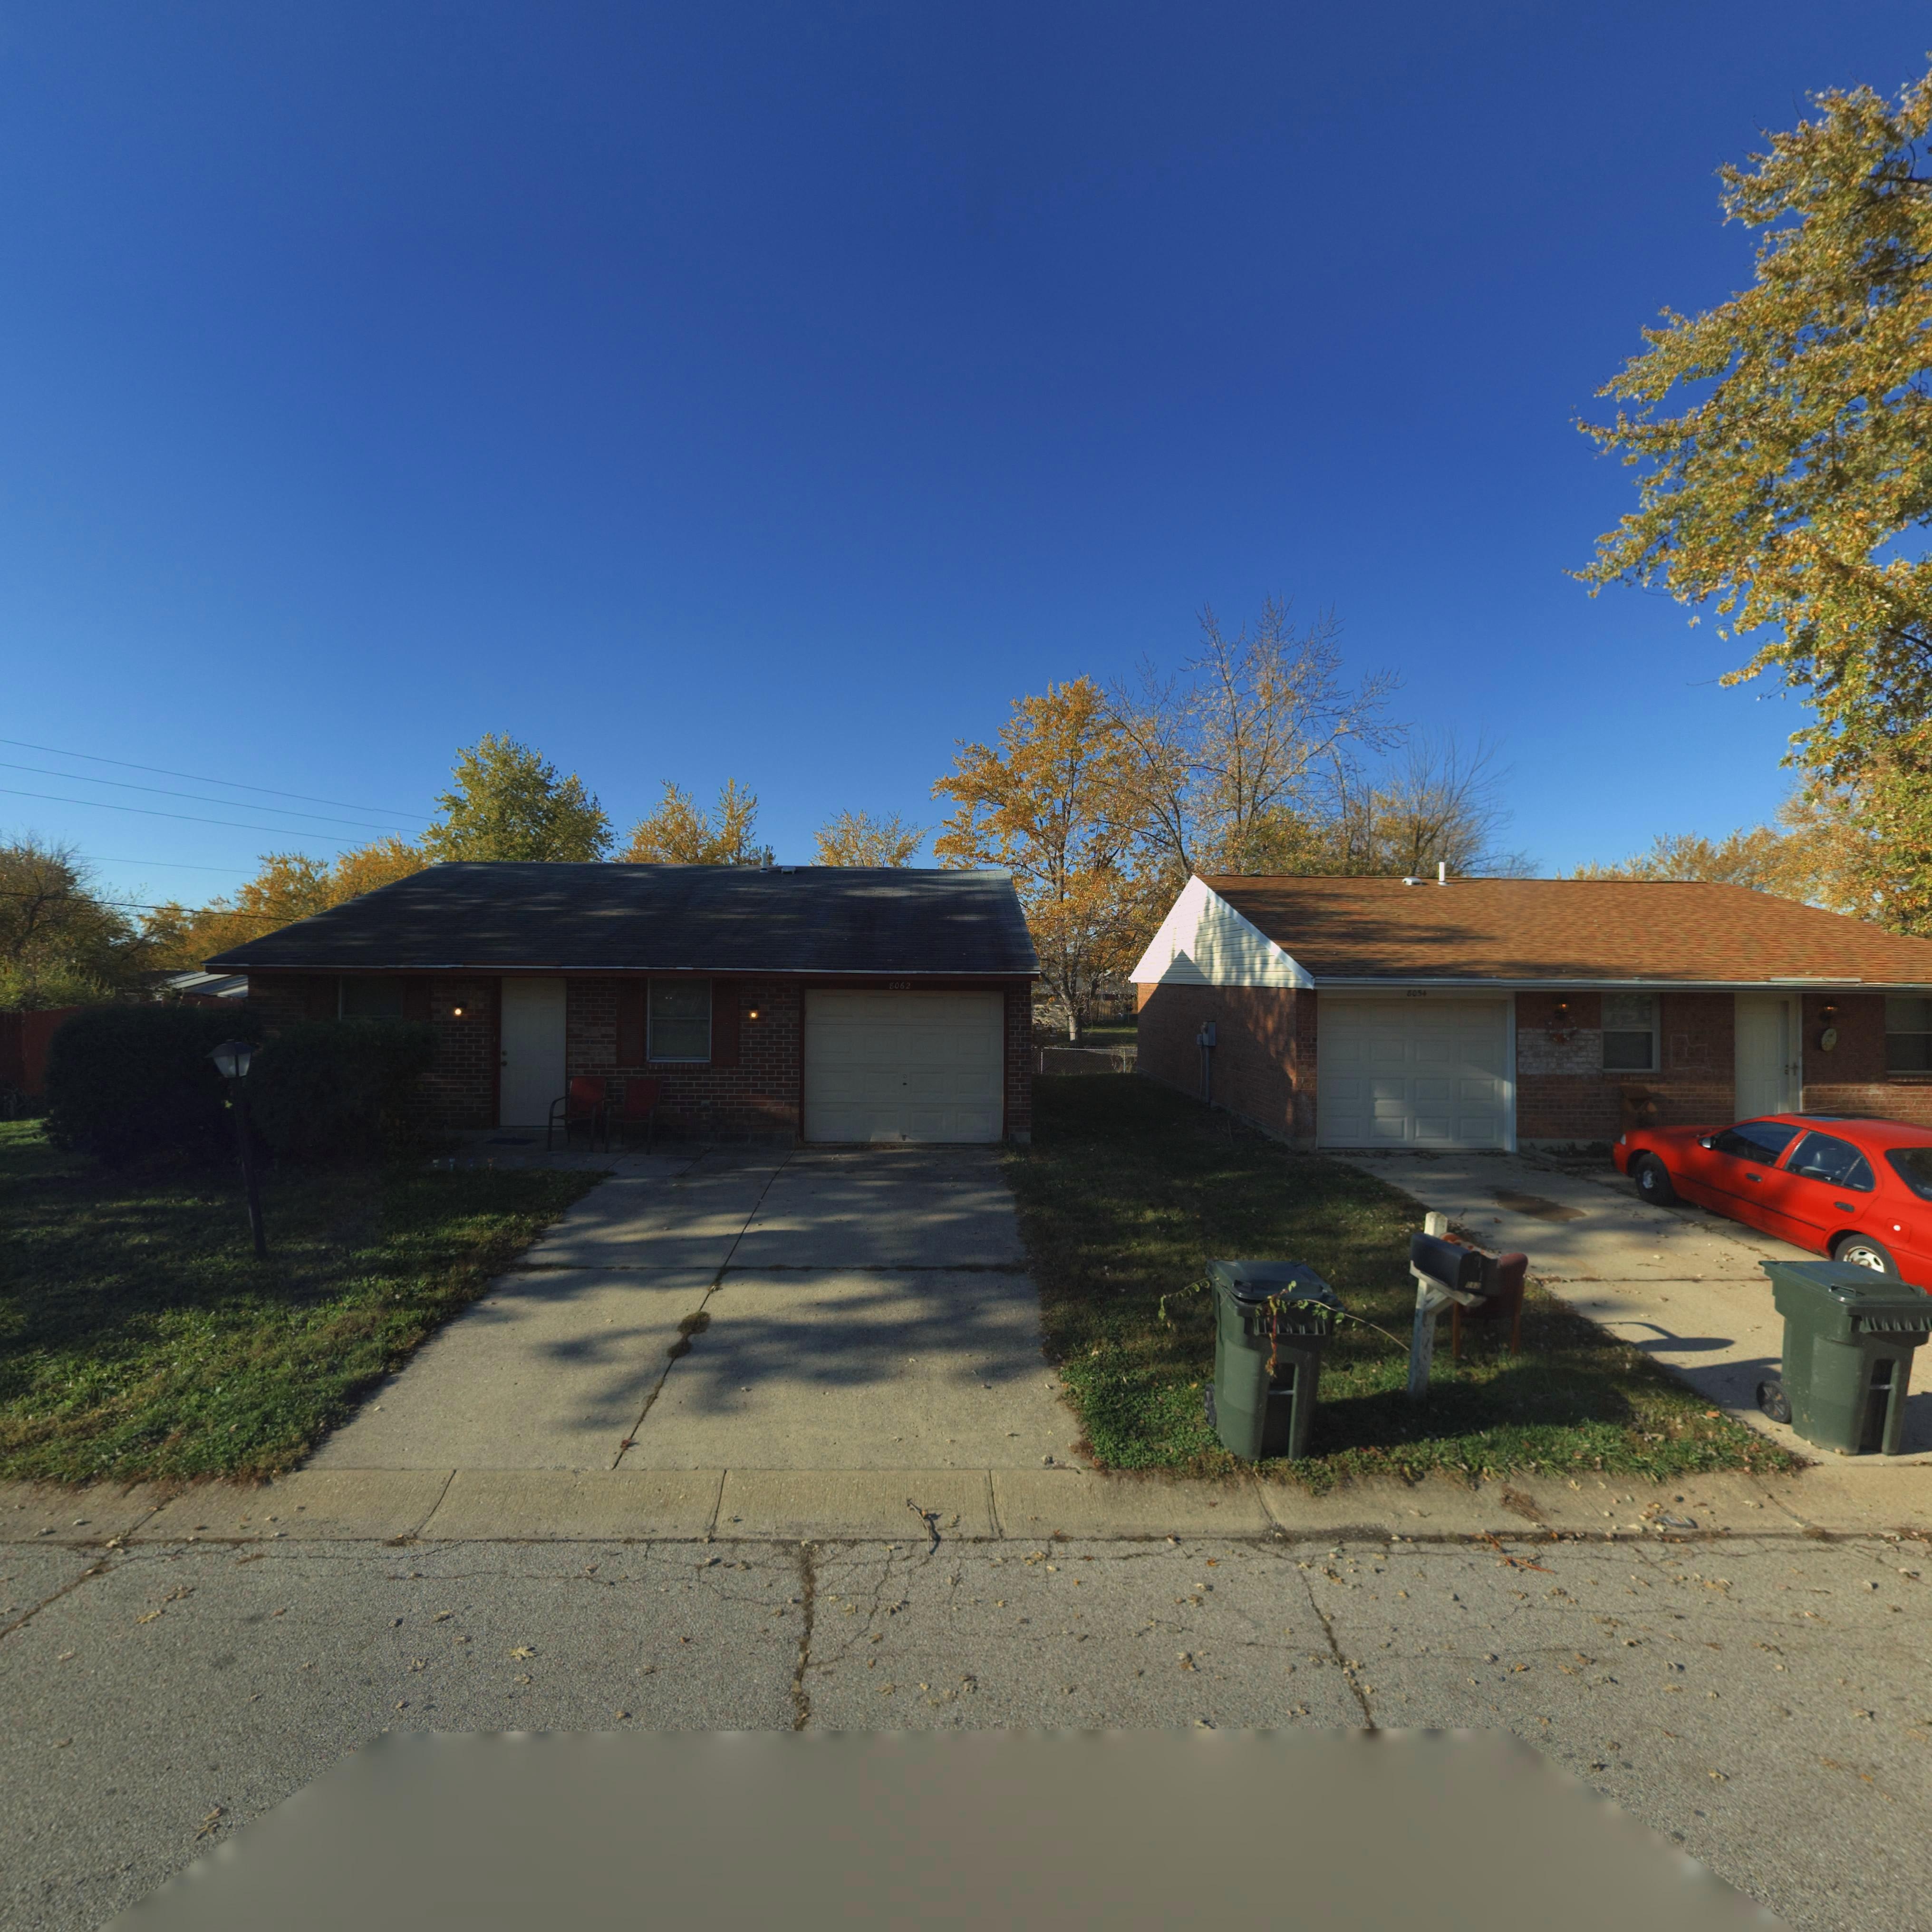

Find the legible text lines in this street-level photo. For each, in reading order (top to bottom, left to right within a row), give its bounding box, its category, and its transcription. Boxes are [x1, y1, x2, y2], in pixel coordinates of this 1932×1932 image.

[888, 980, 912, 991] StreetNumber: 8062
[1405, 988, 1428, 998] StreetNumber: 8054